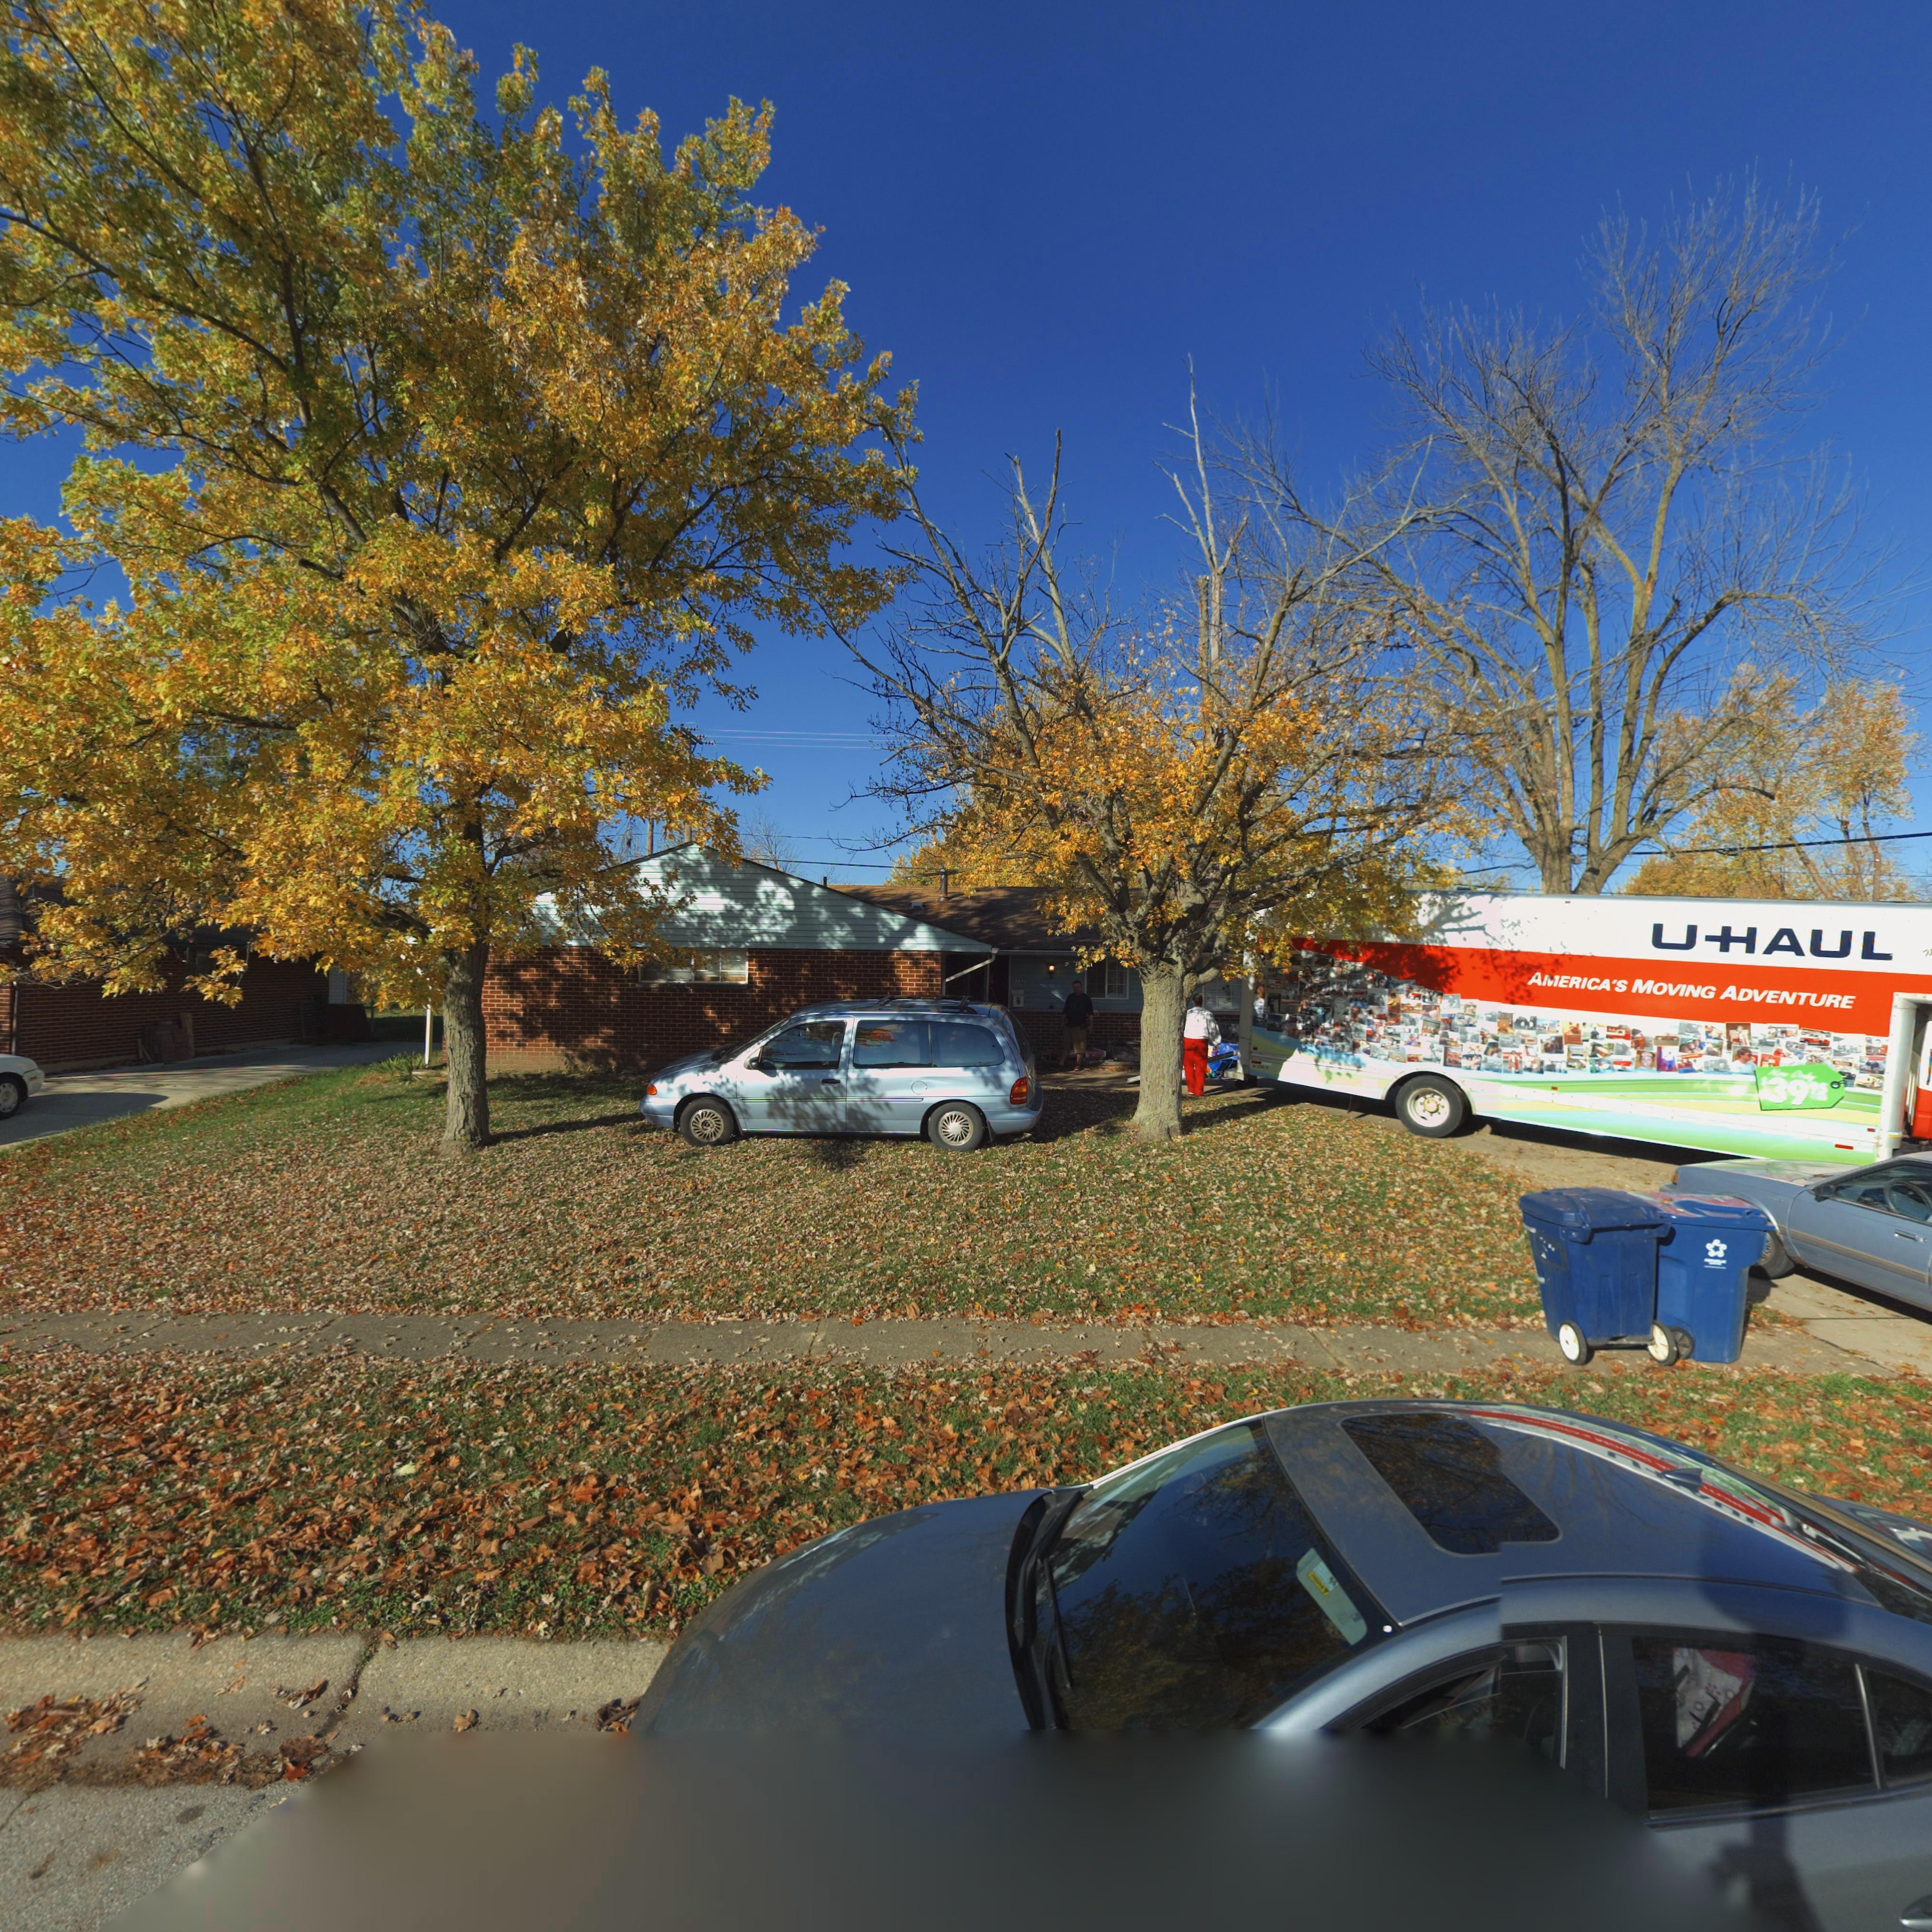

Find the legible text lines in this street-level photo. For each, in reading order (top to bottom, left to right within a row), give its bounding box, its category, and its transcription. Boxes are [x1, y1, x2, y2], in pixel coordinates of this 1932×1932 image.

[1013, 978, 1026, 984] StreetNumber: *7*7